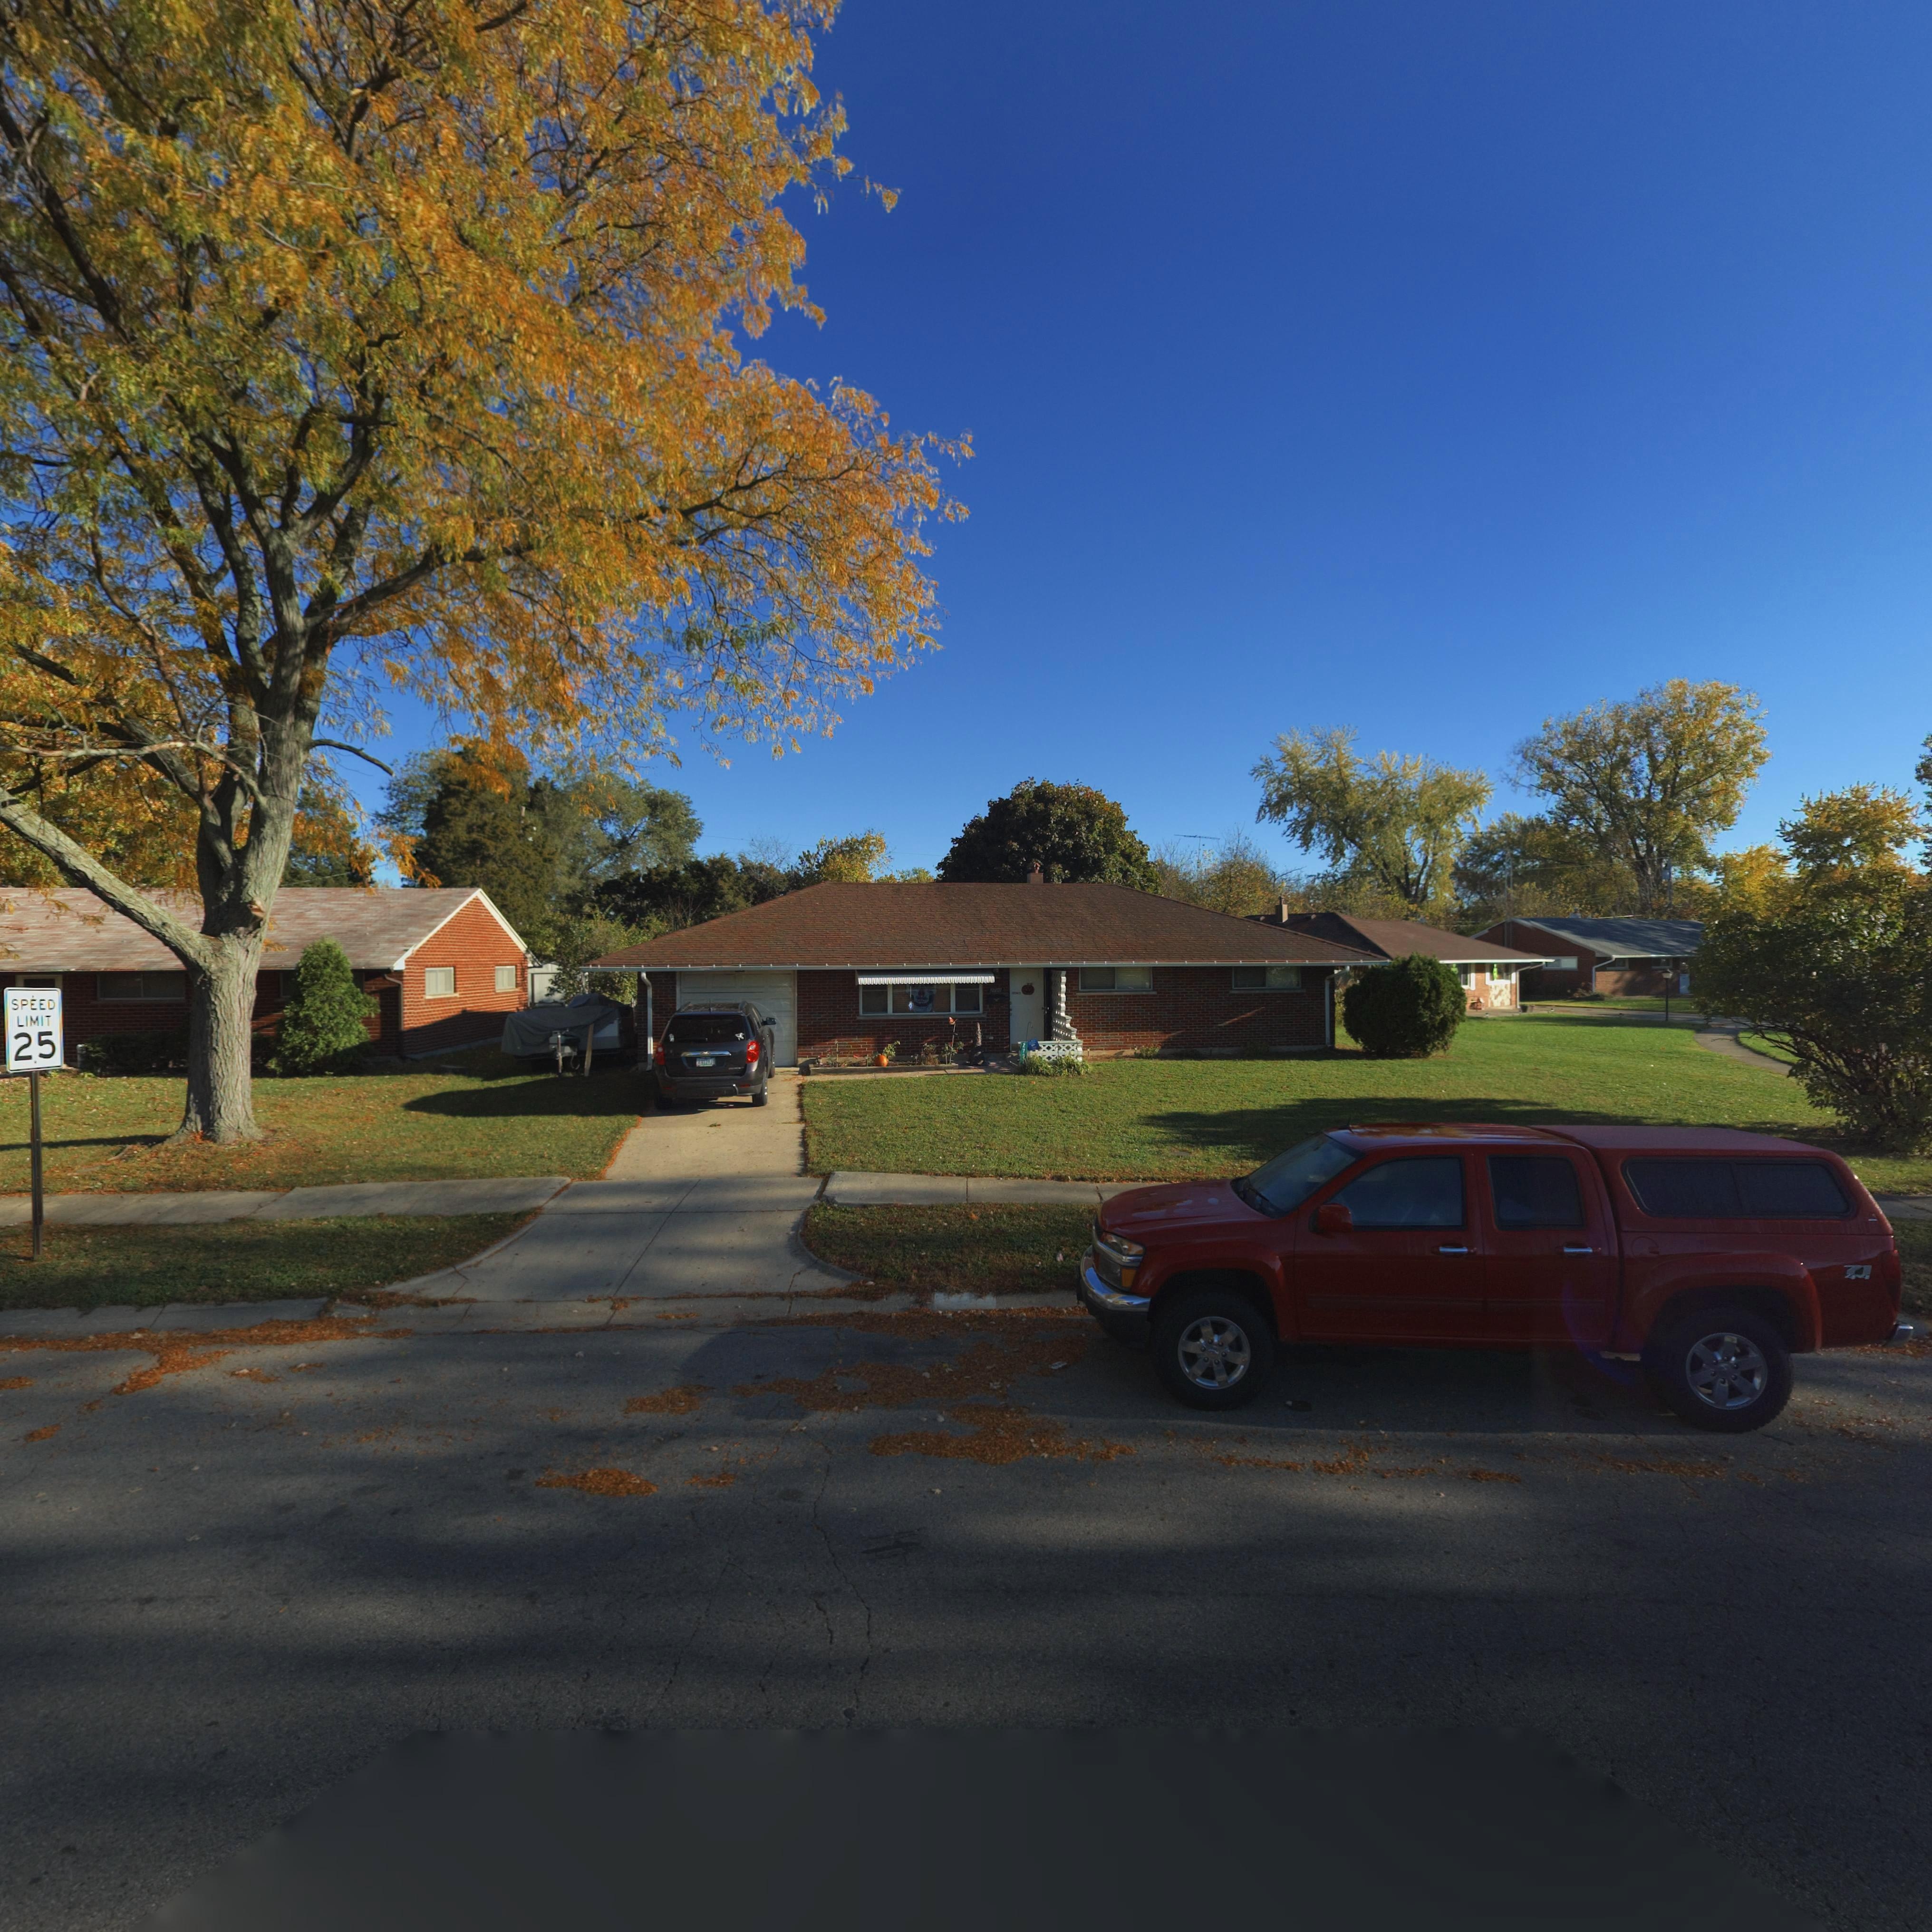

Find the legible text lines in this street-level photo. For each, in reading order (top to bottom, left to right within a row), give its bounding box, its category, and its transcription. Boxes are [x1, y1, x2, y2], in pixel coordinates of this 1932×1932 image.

[1022, 1042, 1026, 1053] StreetNumber: 27